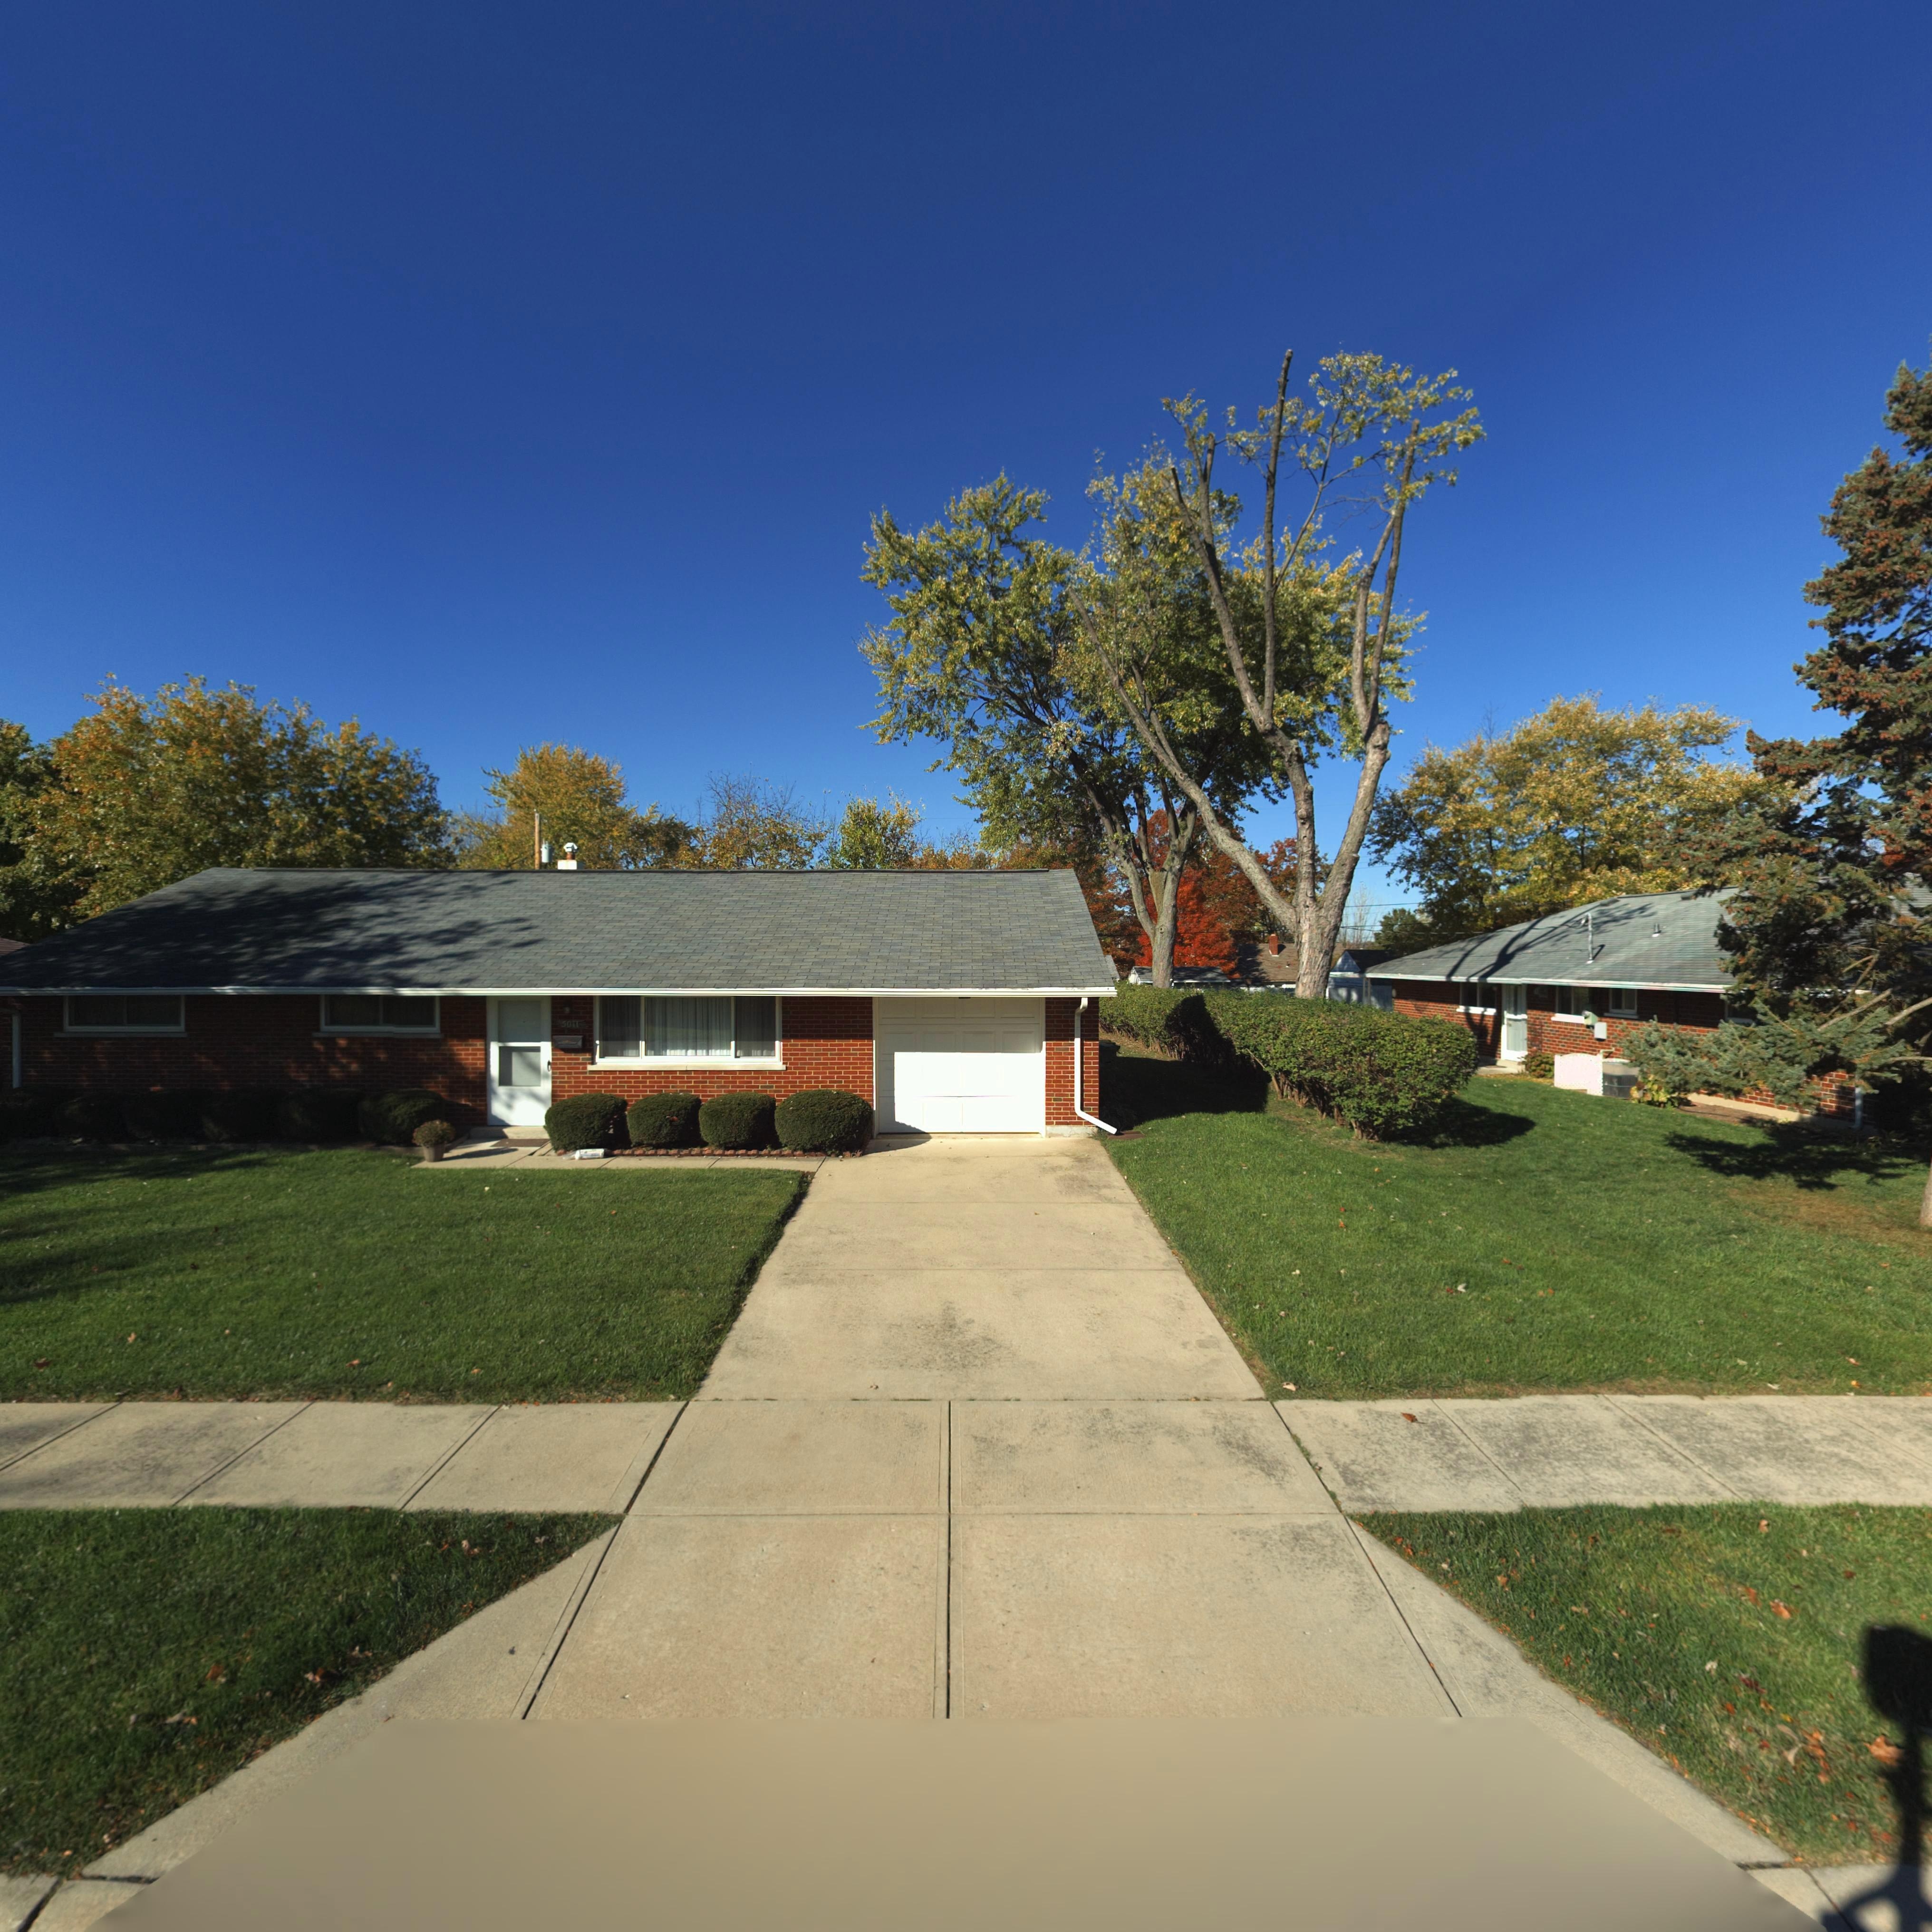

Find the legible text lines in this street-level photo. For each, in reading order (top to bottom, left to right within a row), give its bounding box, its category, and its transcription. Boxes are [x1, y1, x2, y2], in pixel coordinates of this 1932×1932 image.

[561, 1020, 579, 1028] StreetNumber: 5011